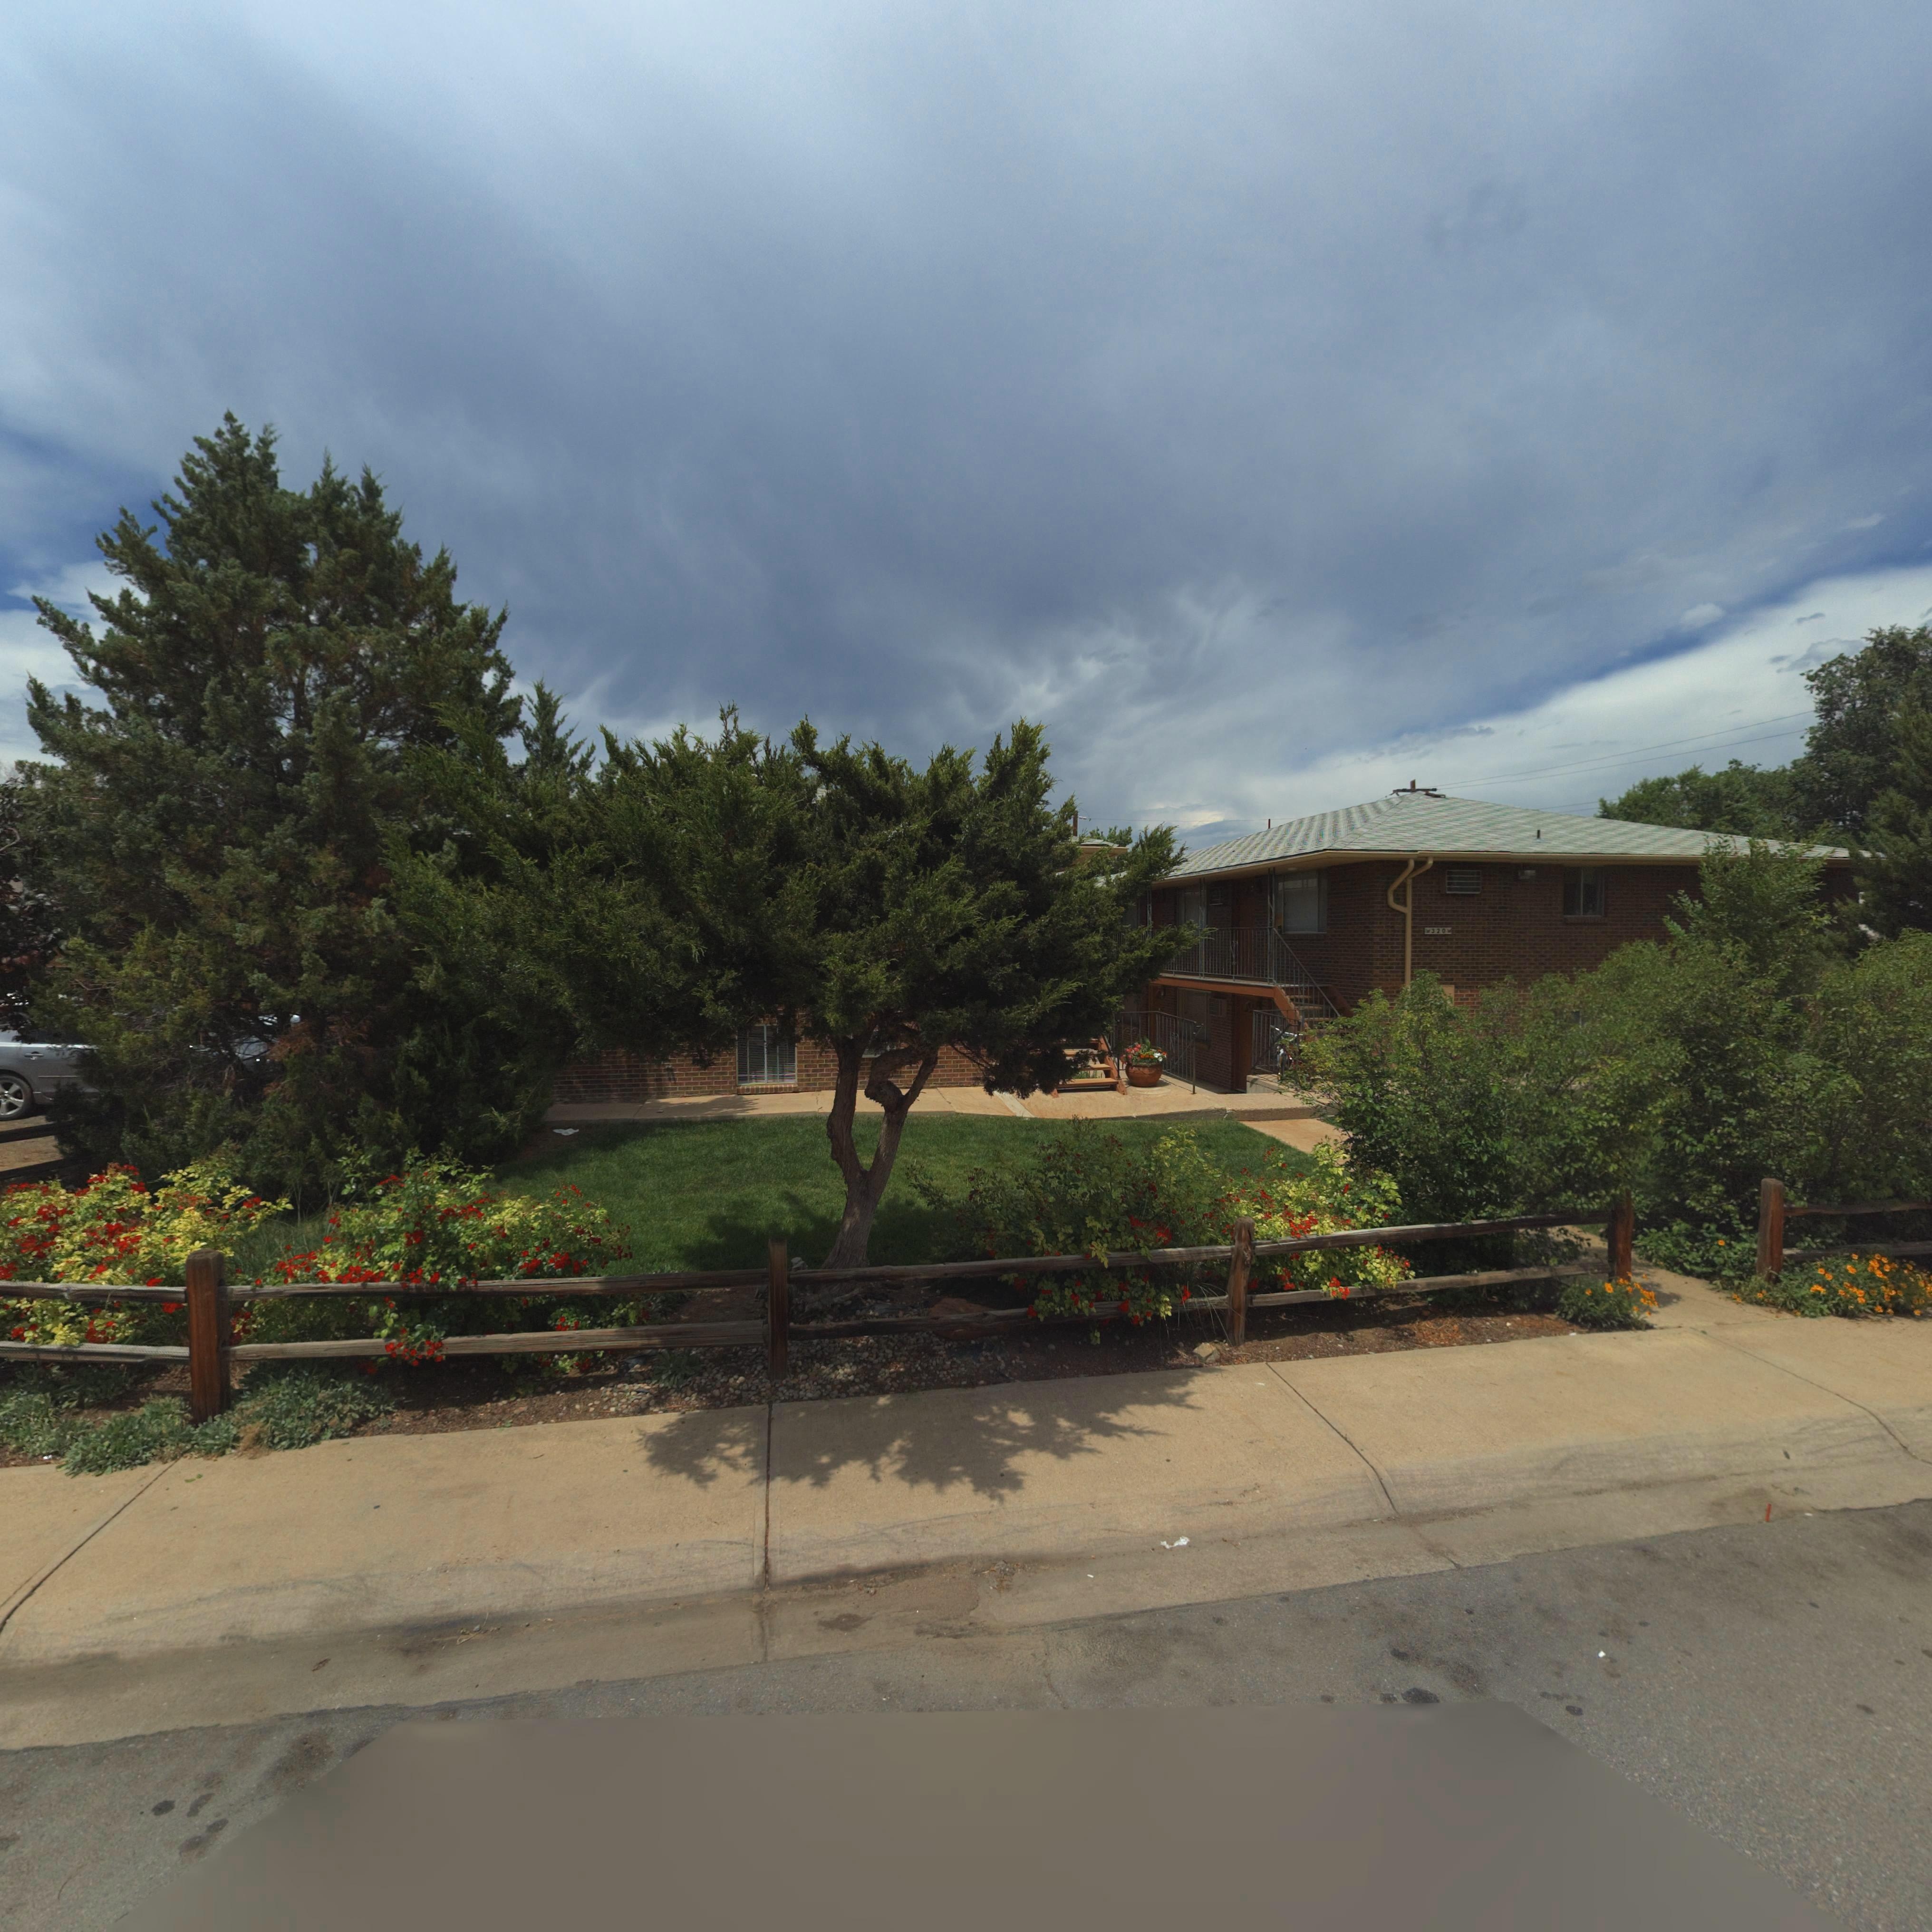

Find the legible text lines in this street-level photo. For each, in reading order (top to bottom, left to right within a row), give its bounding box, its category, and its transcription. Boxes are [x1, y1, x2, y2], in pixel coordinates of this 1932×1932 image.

[1431, 928, 1445, 933] StreetNumber: 320